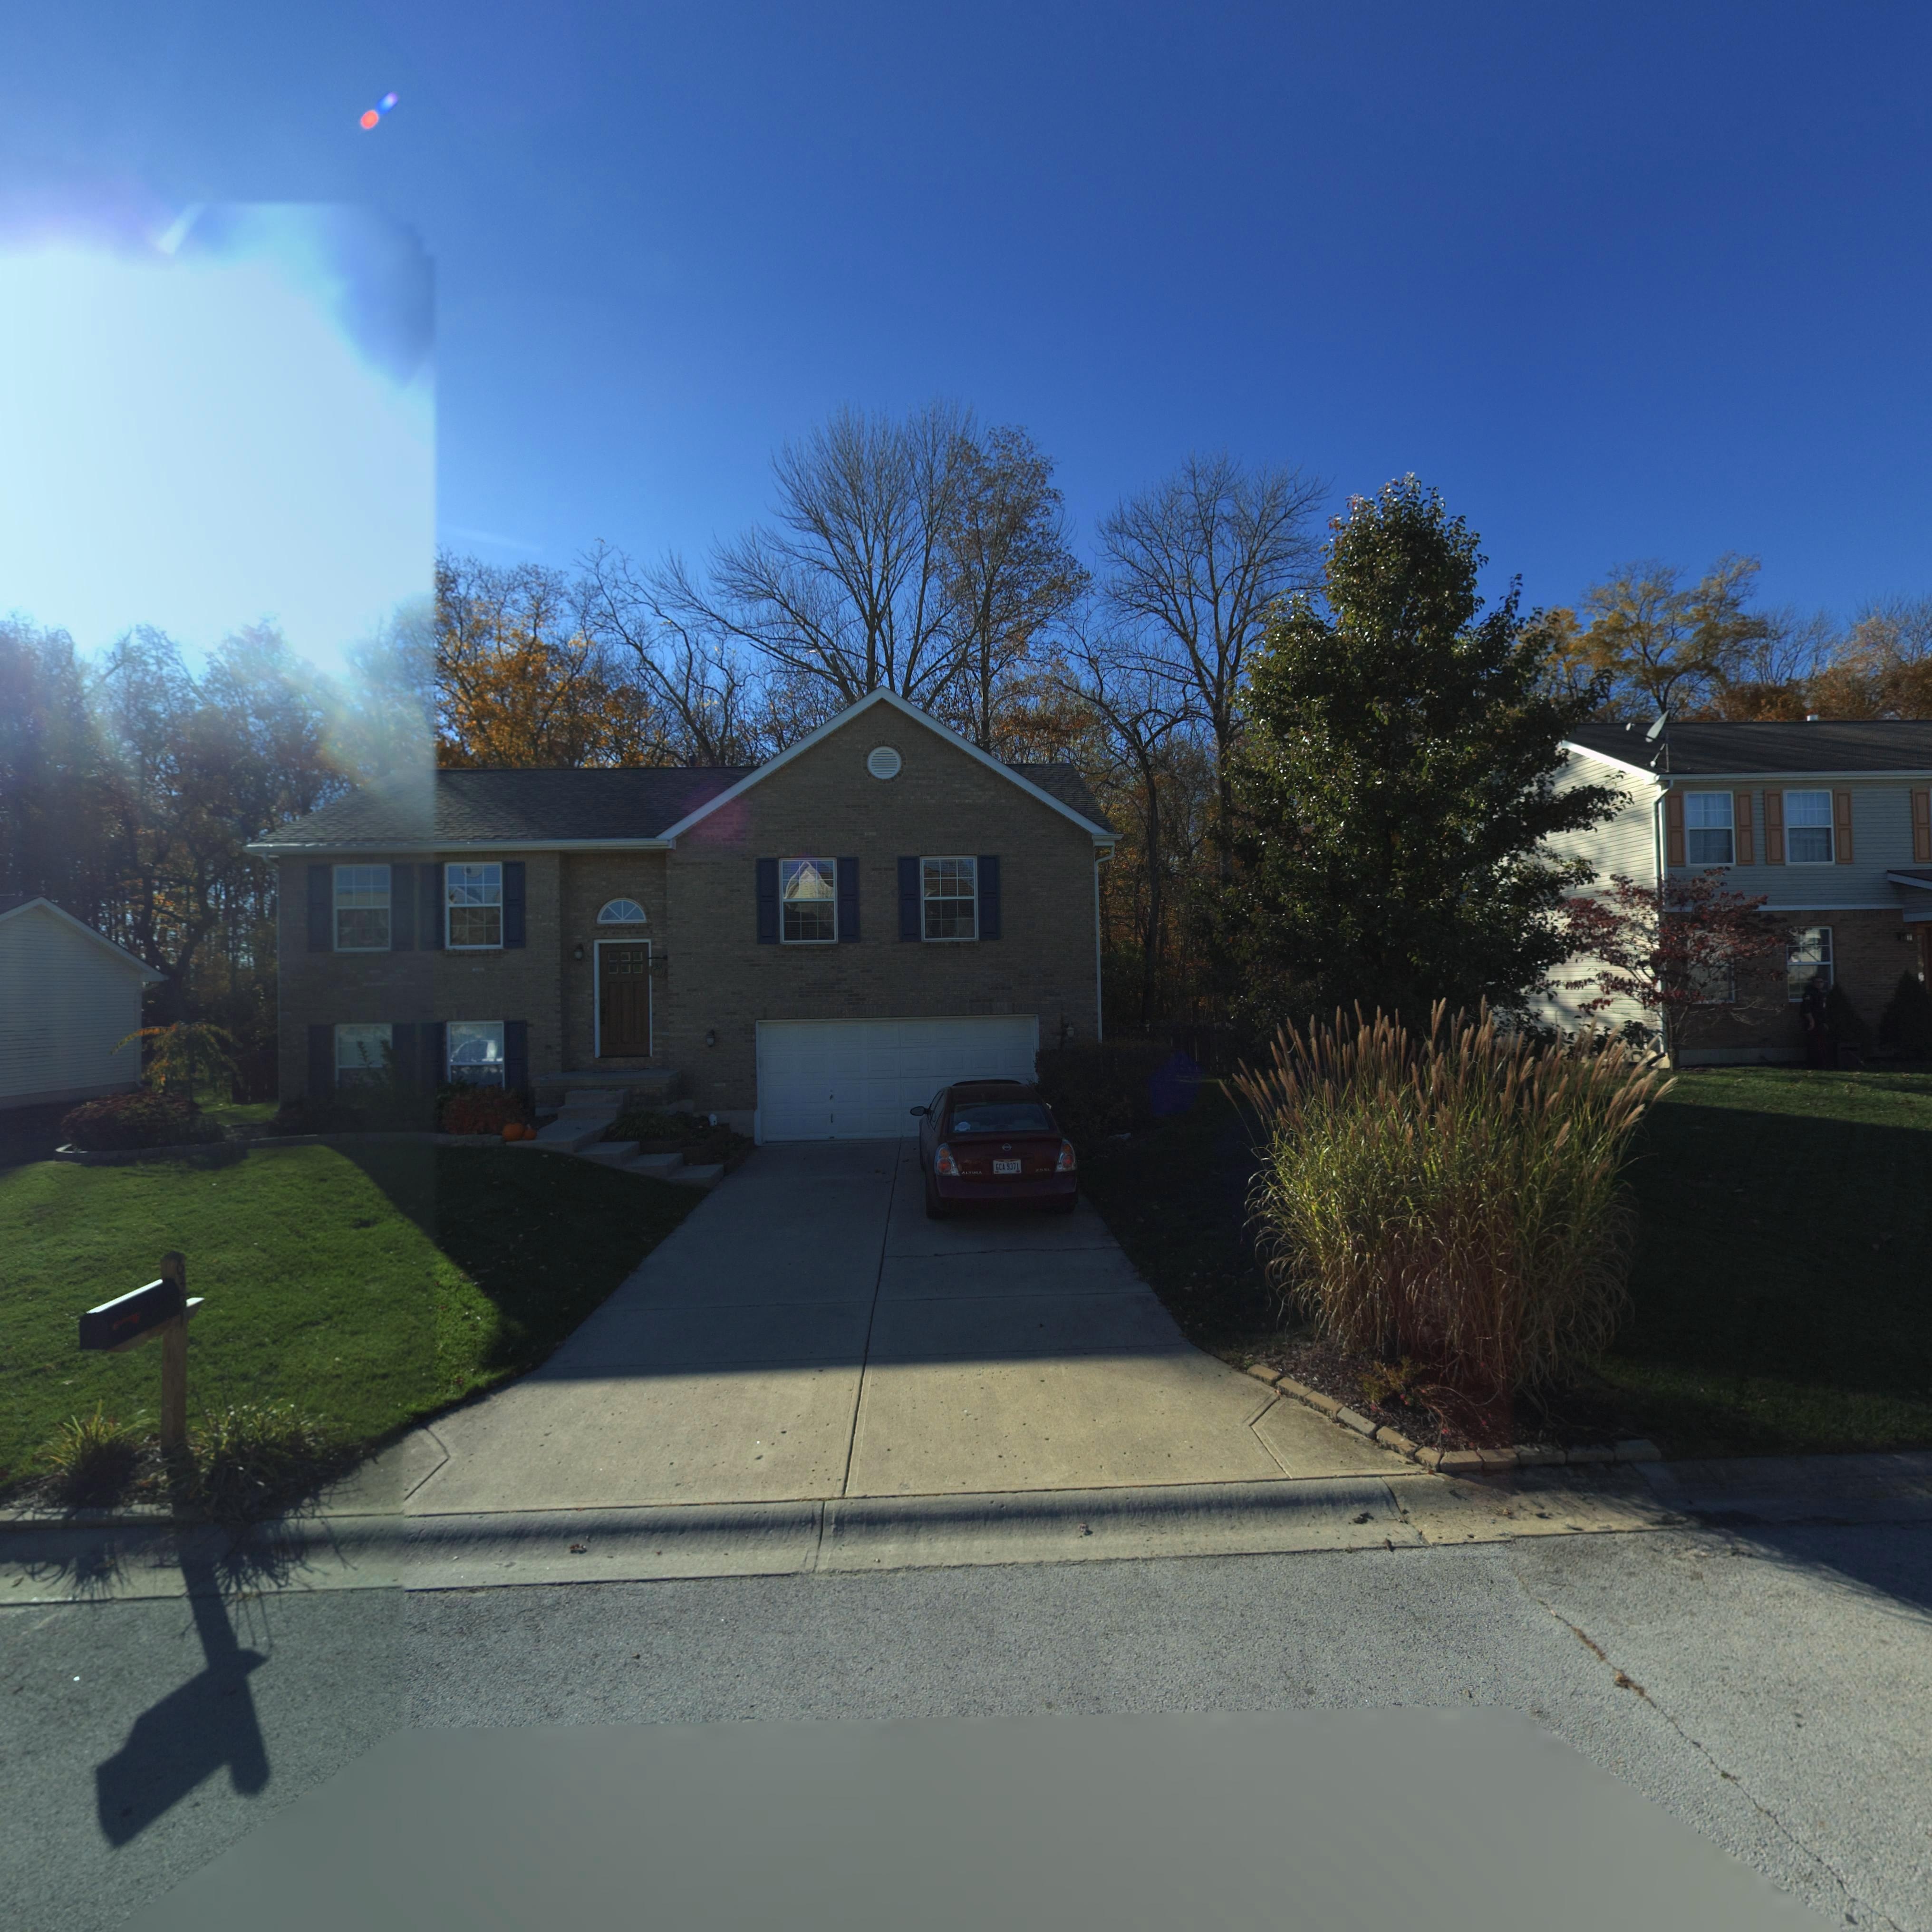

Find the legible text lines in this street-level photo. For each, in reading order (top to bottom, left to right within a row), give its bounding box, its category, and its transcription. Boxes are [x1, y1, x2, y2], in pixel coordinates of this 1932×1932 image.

[175, 1256, 188, 1332] StreetNumber: 6331